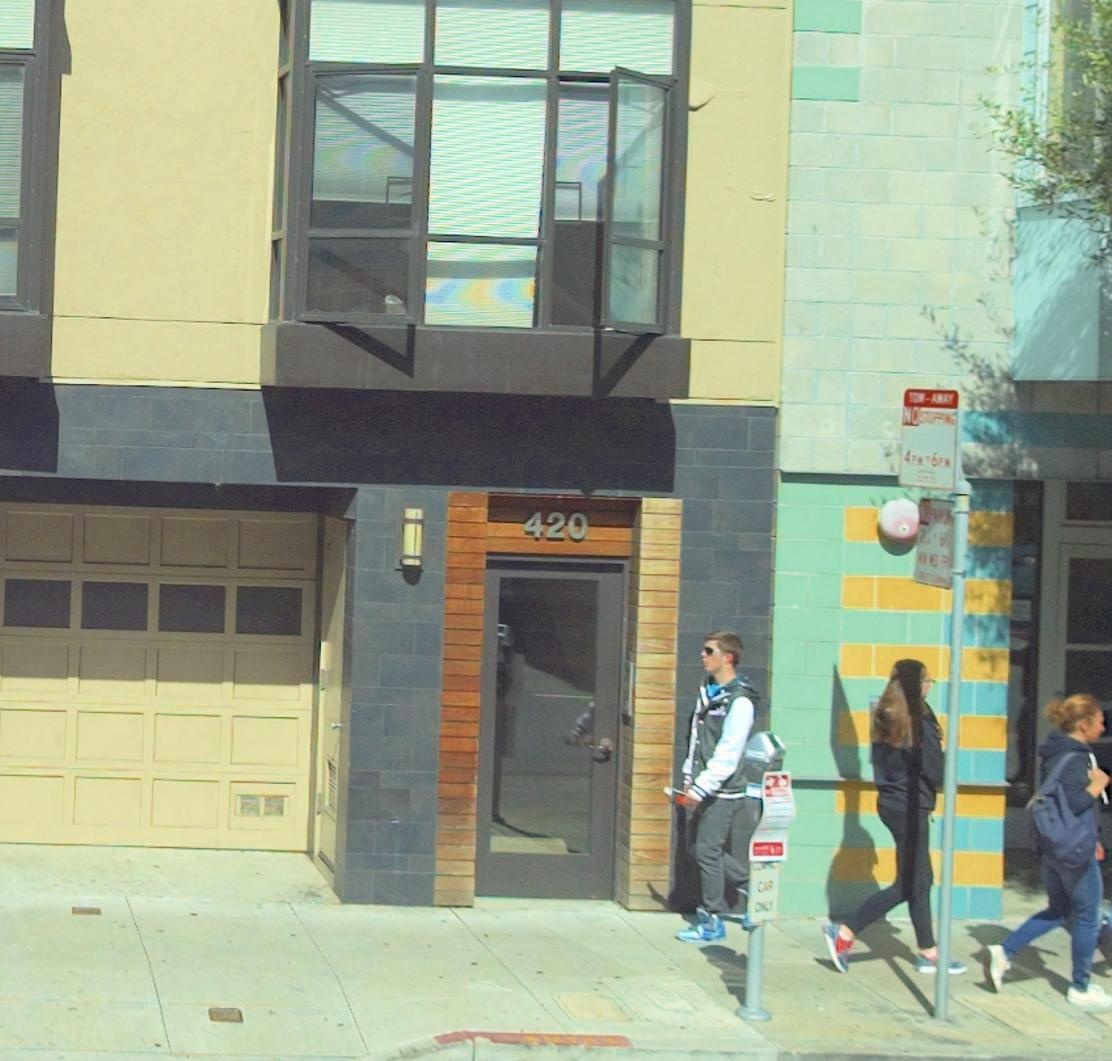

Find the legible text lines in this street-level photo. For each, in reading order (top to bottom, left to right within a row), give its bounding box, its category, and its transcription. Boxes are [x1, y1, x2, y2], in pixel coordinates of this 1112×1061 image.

[906, 389, 957, 406] None: TOW-AWAY
[900, 403, 958, 428] None: NO STOPPING
[901, 448, 954, 469] None: 4PM*6PM
[521, 509, 589, 541] StreetNumber: 420
[757, 878, 776, 896] None: CAR
[754, 899, 774, 914] None: ONLY